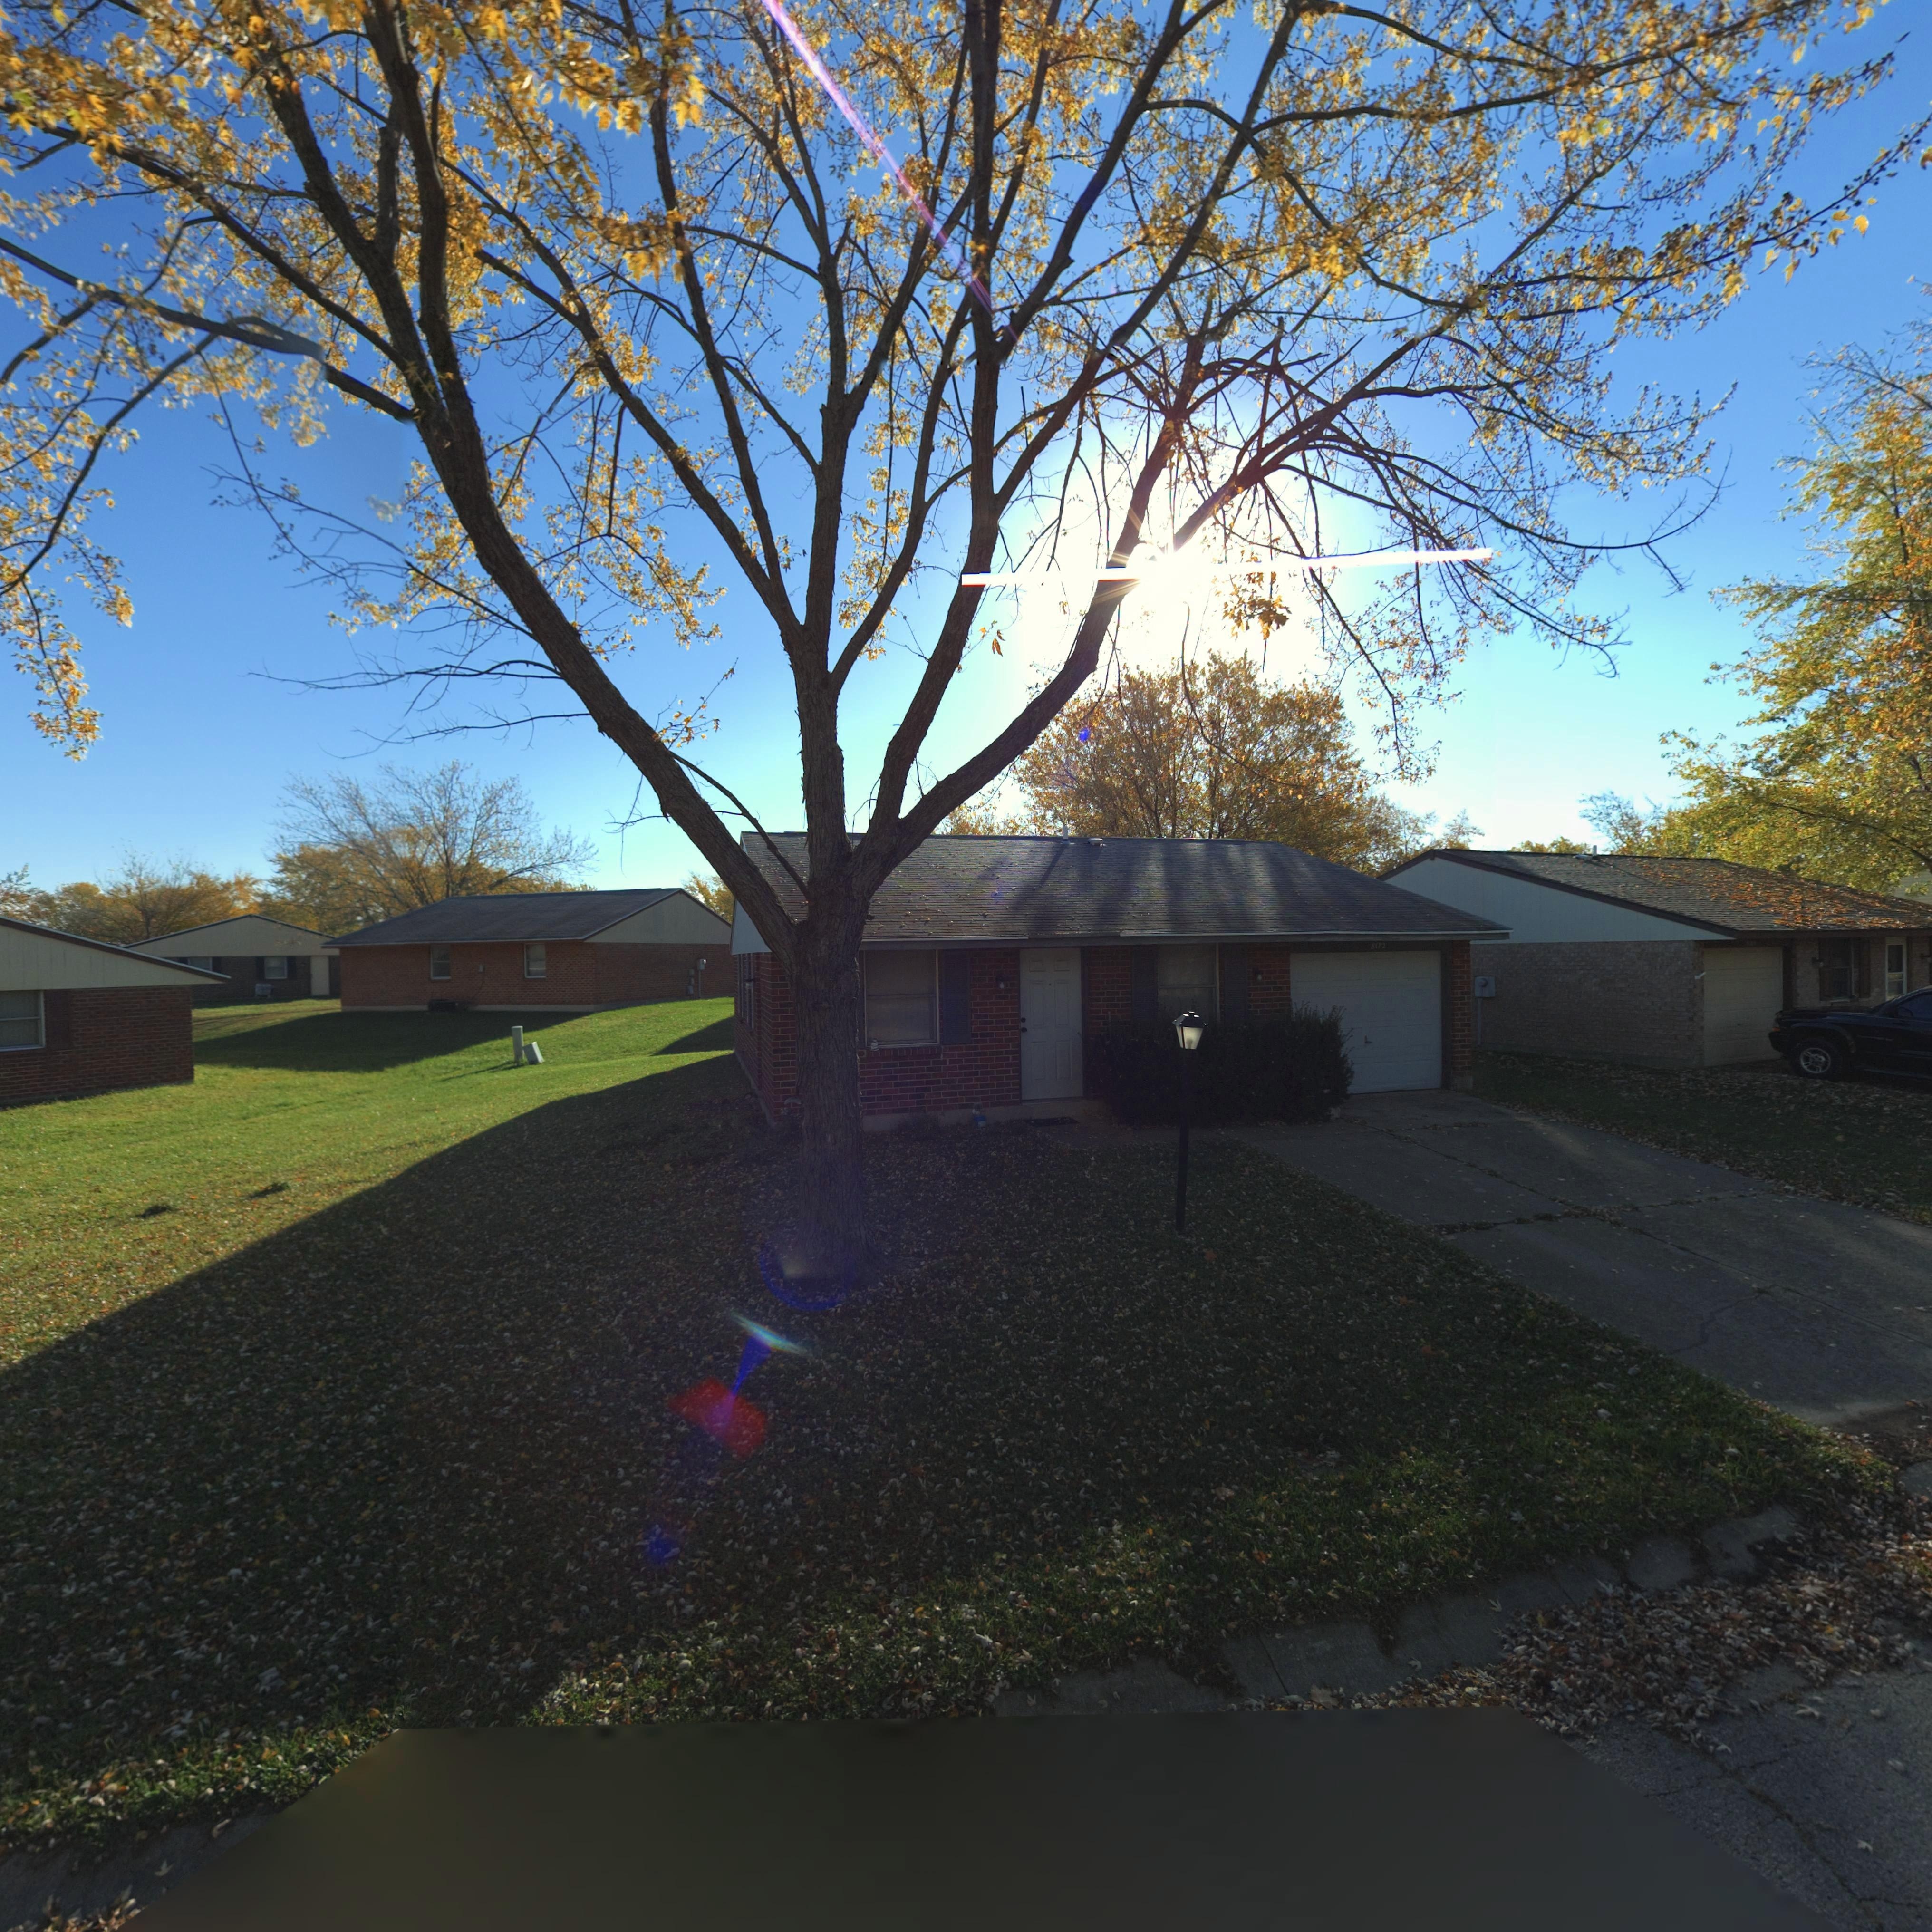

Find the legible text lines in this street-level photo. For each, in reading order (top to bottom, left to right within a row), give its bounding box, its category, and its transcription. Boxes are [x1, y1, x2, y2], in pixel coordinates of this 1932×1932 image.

[1370, 942, 1387, 950] StreetNumber: 8172